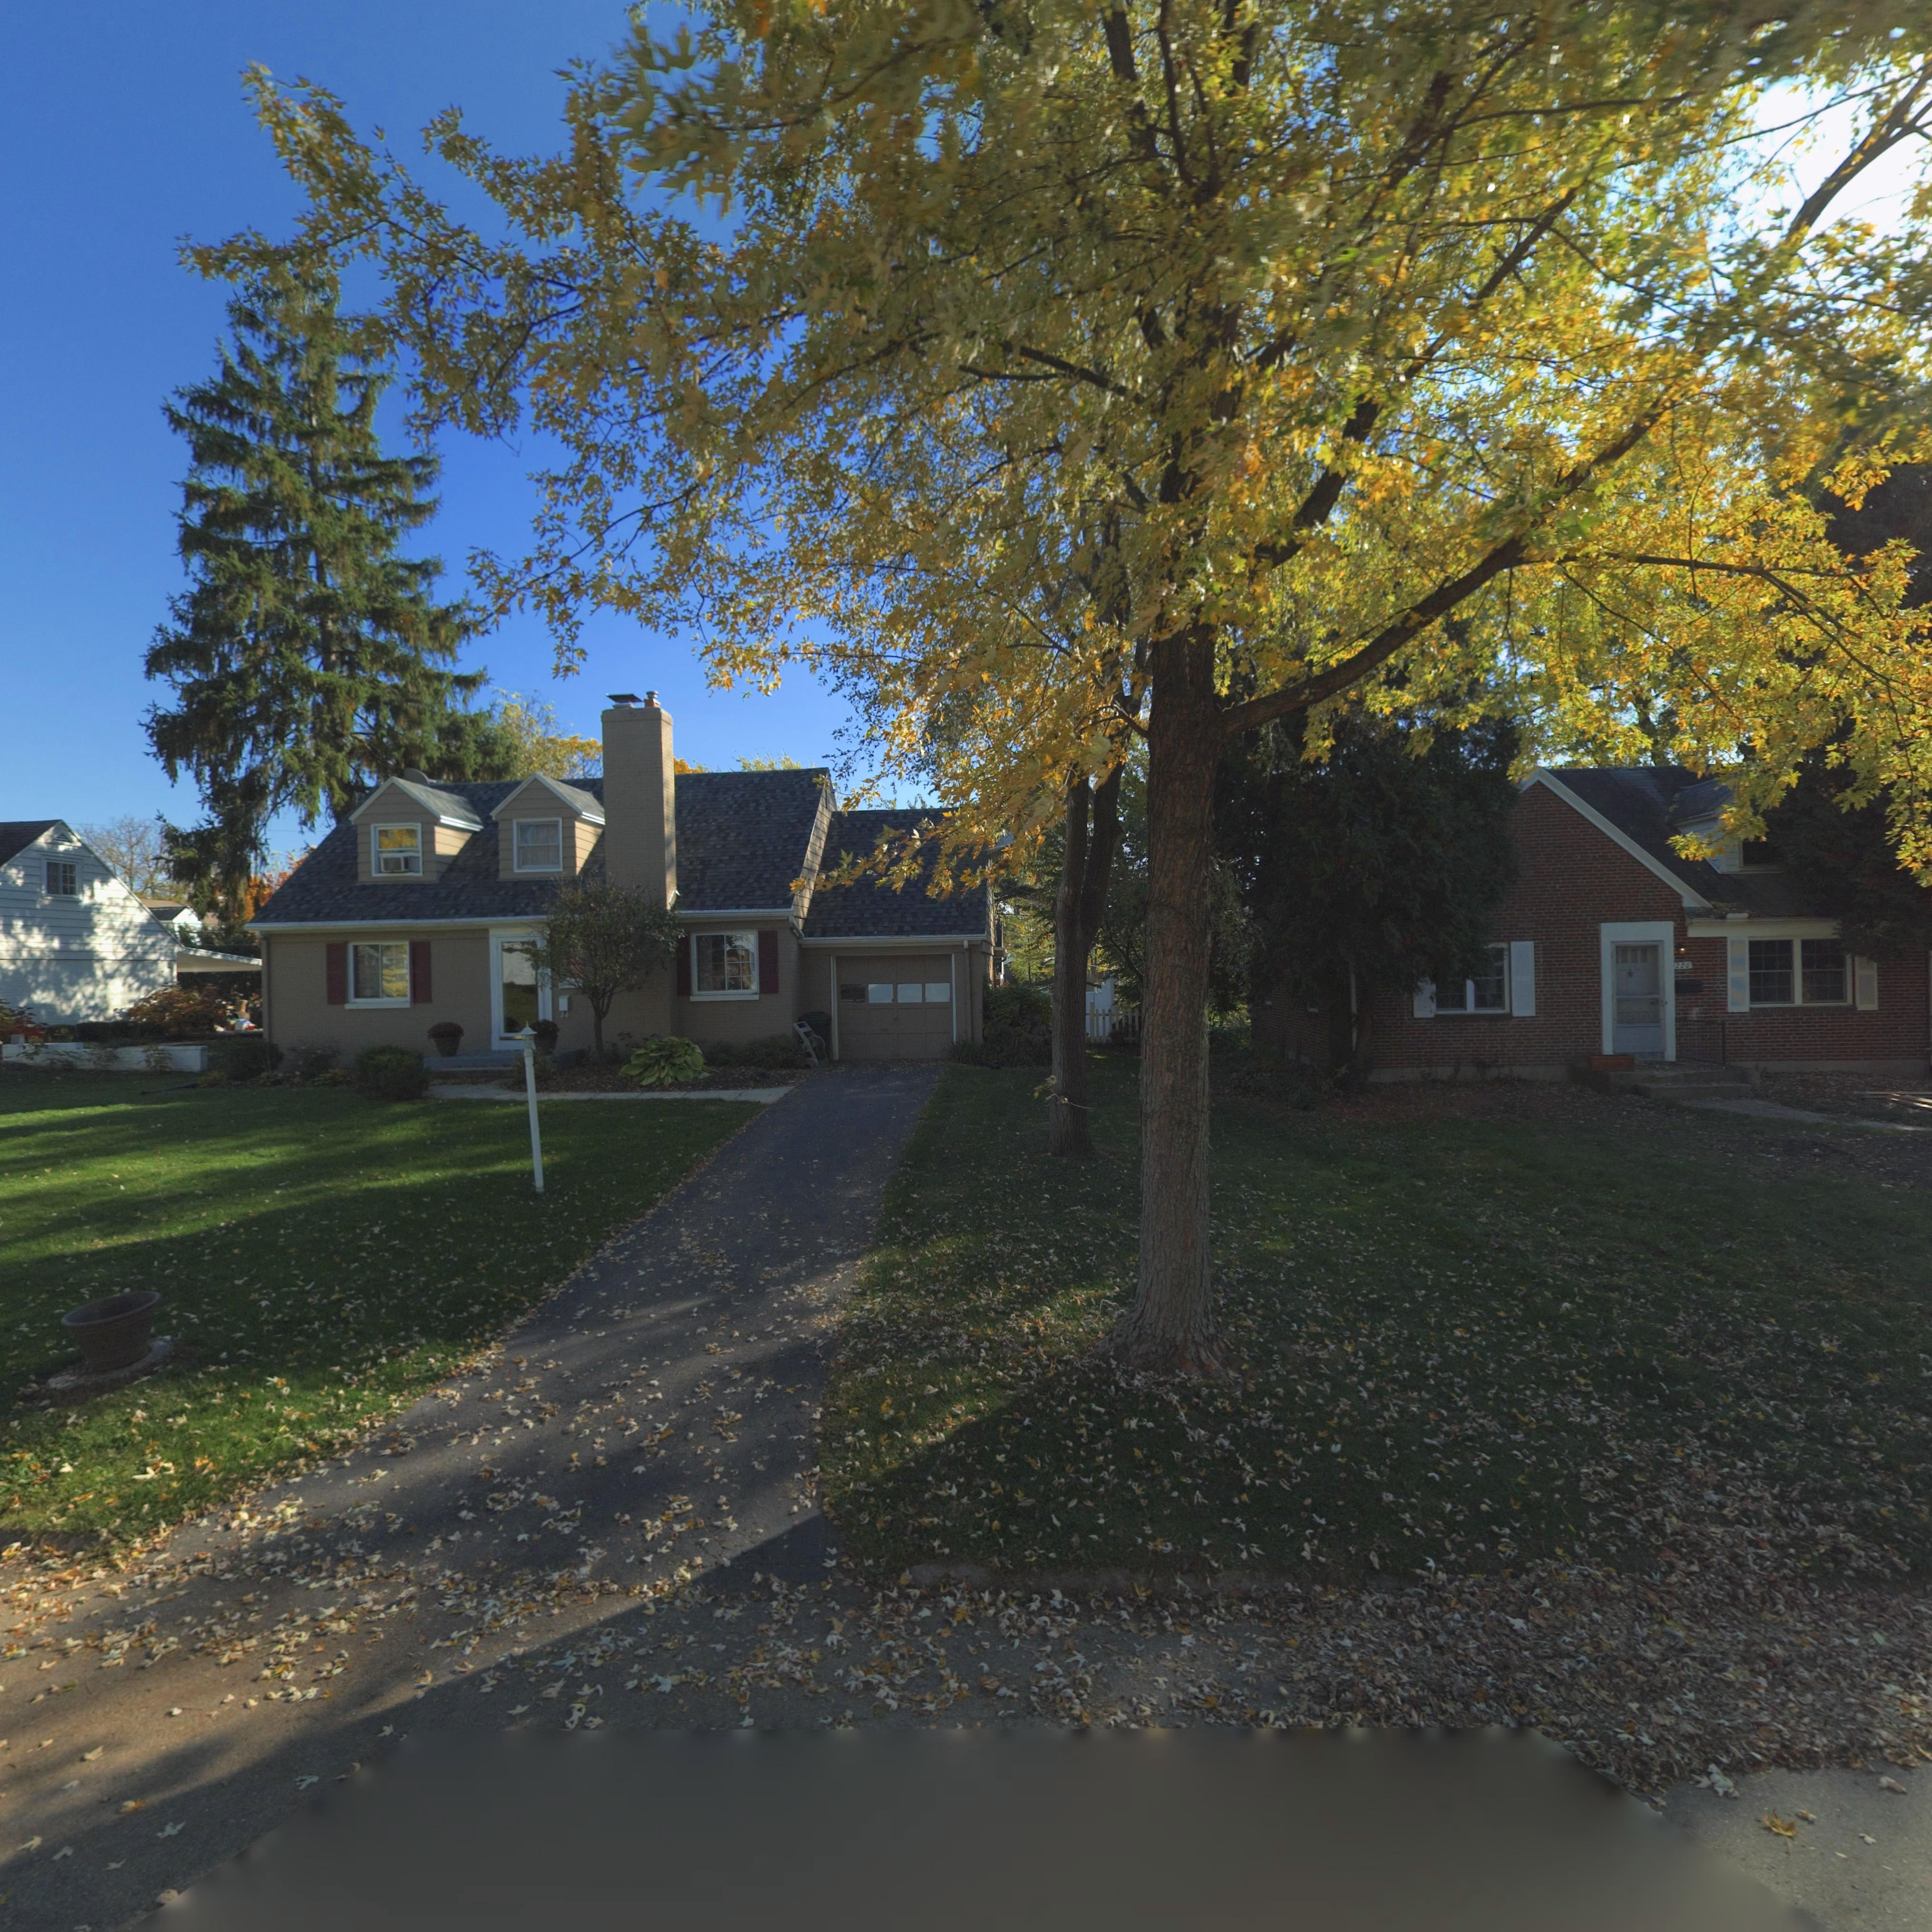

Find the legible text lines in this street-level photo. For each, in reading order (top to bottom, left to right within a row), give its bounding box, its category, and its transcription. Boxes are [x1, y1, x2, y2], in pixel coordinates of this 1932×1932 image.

[1674, 961, 1691, 969] StreetNumber: 220